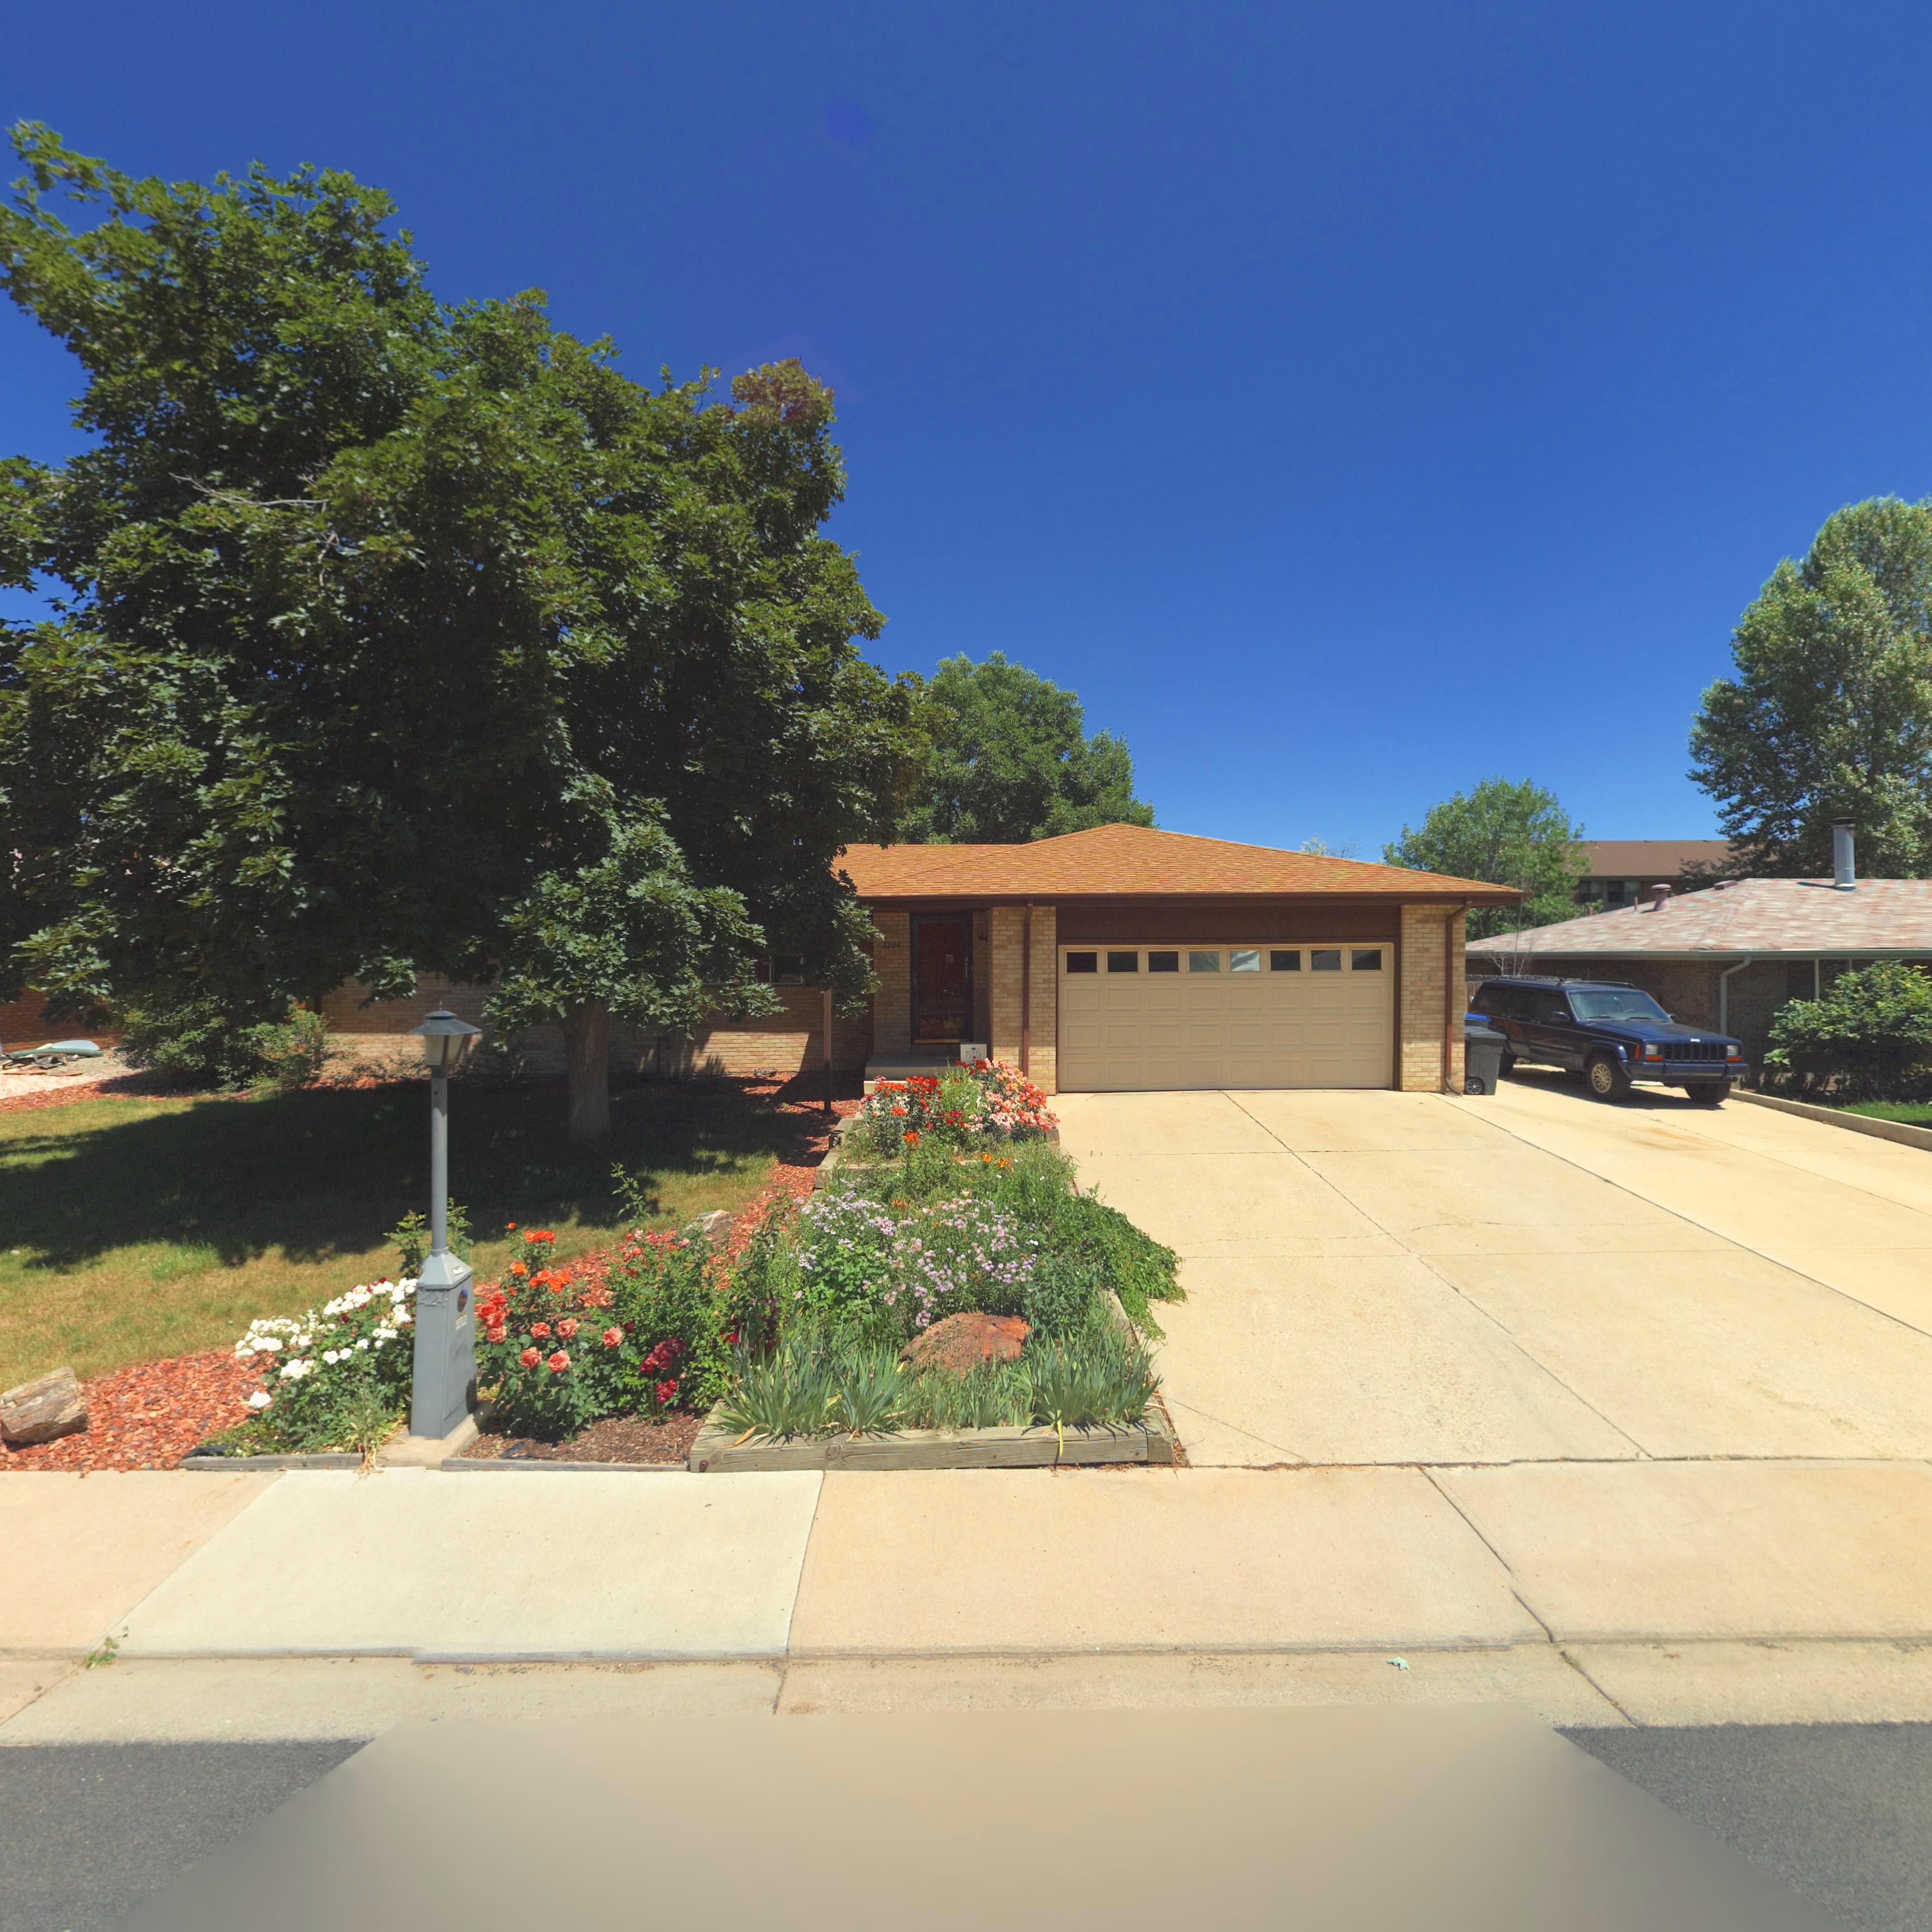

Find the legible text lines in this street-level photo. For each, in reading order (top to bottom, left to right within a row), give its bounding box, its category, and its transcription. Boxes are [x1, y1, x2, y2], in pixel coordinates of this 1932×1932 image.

[881, 941, 900, 948] StreetNumber: 2224